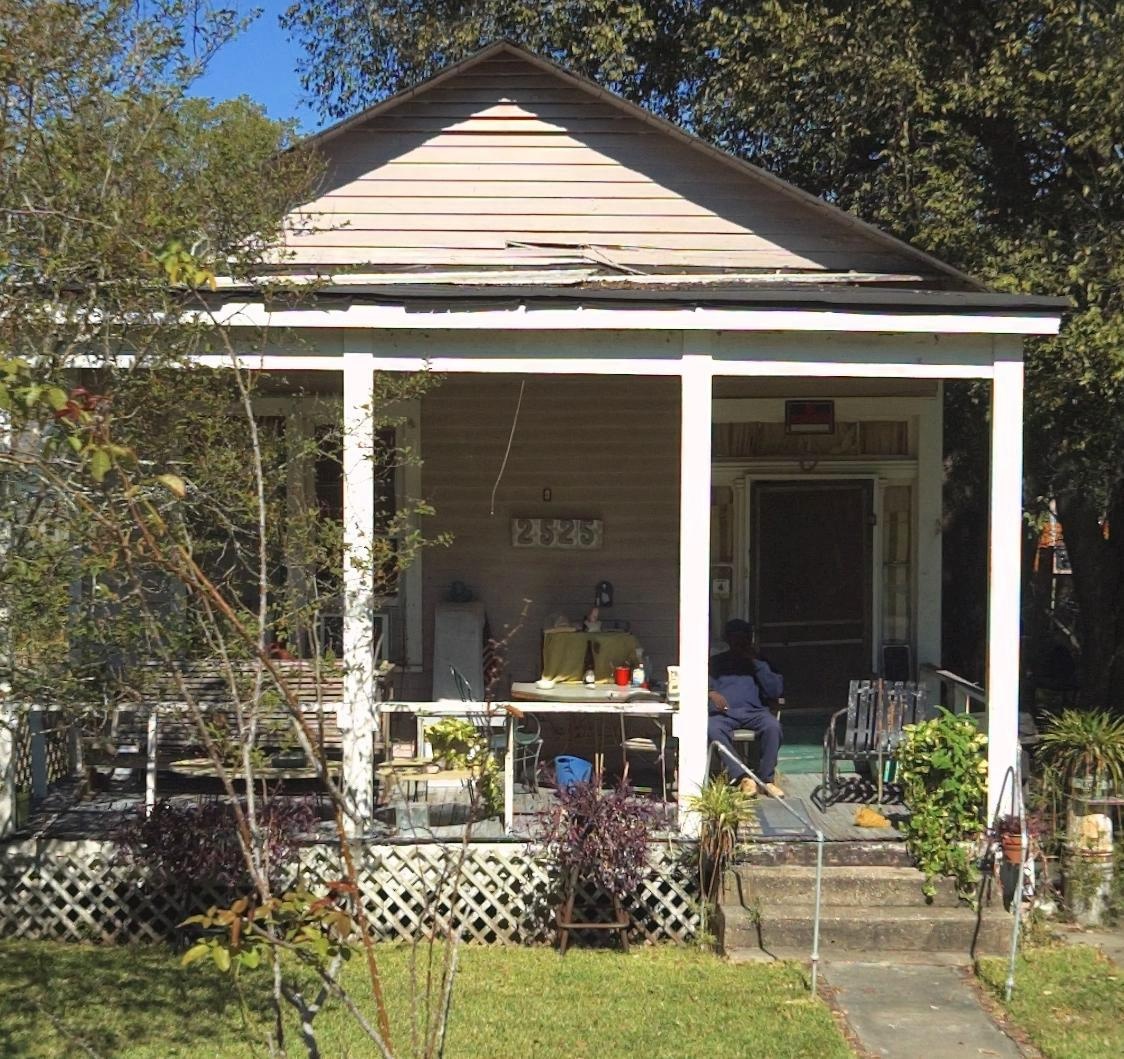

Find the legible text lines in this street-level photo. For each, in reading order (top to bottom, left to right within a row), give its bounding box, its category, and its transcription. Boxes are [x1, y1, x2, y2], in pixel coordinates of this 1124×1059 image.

[515, 517, 597, 548] StreetNumber: 2525